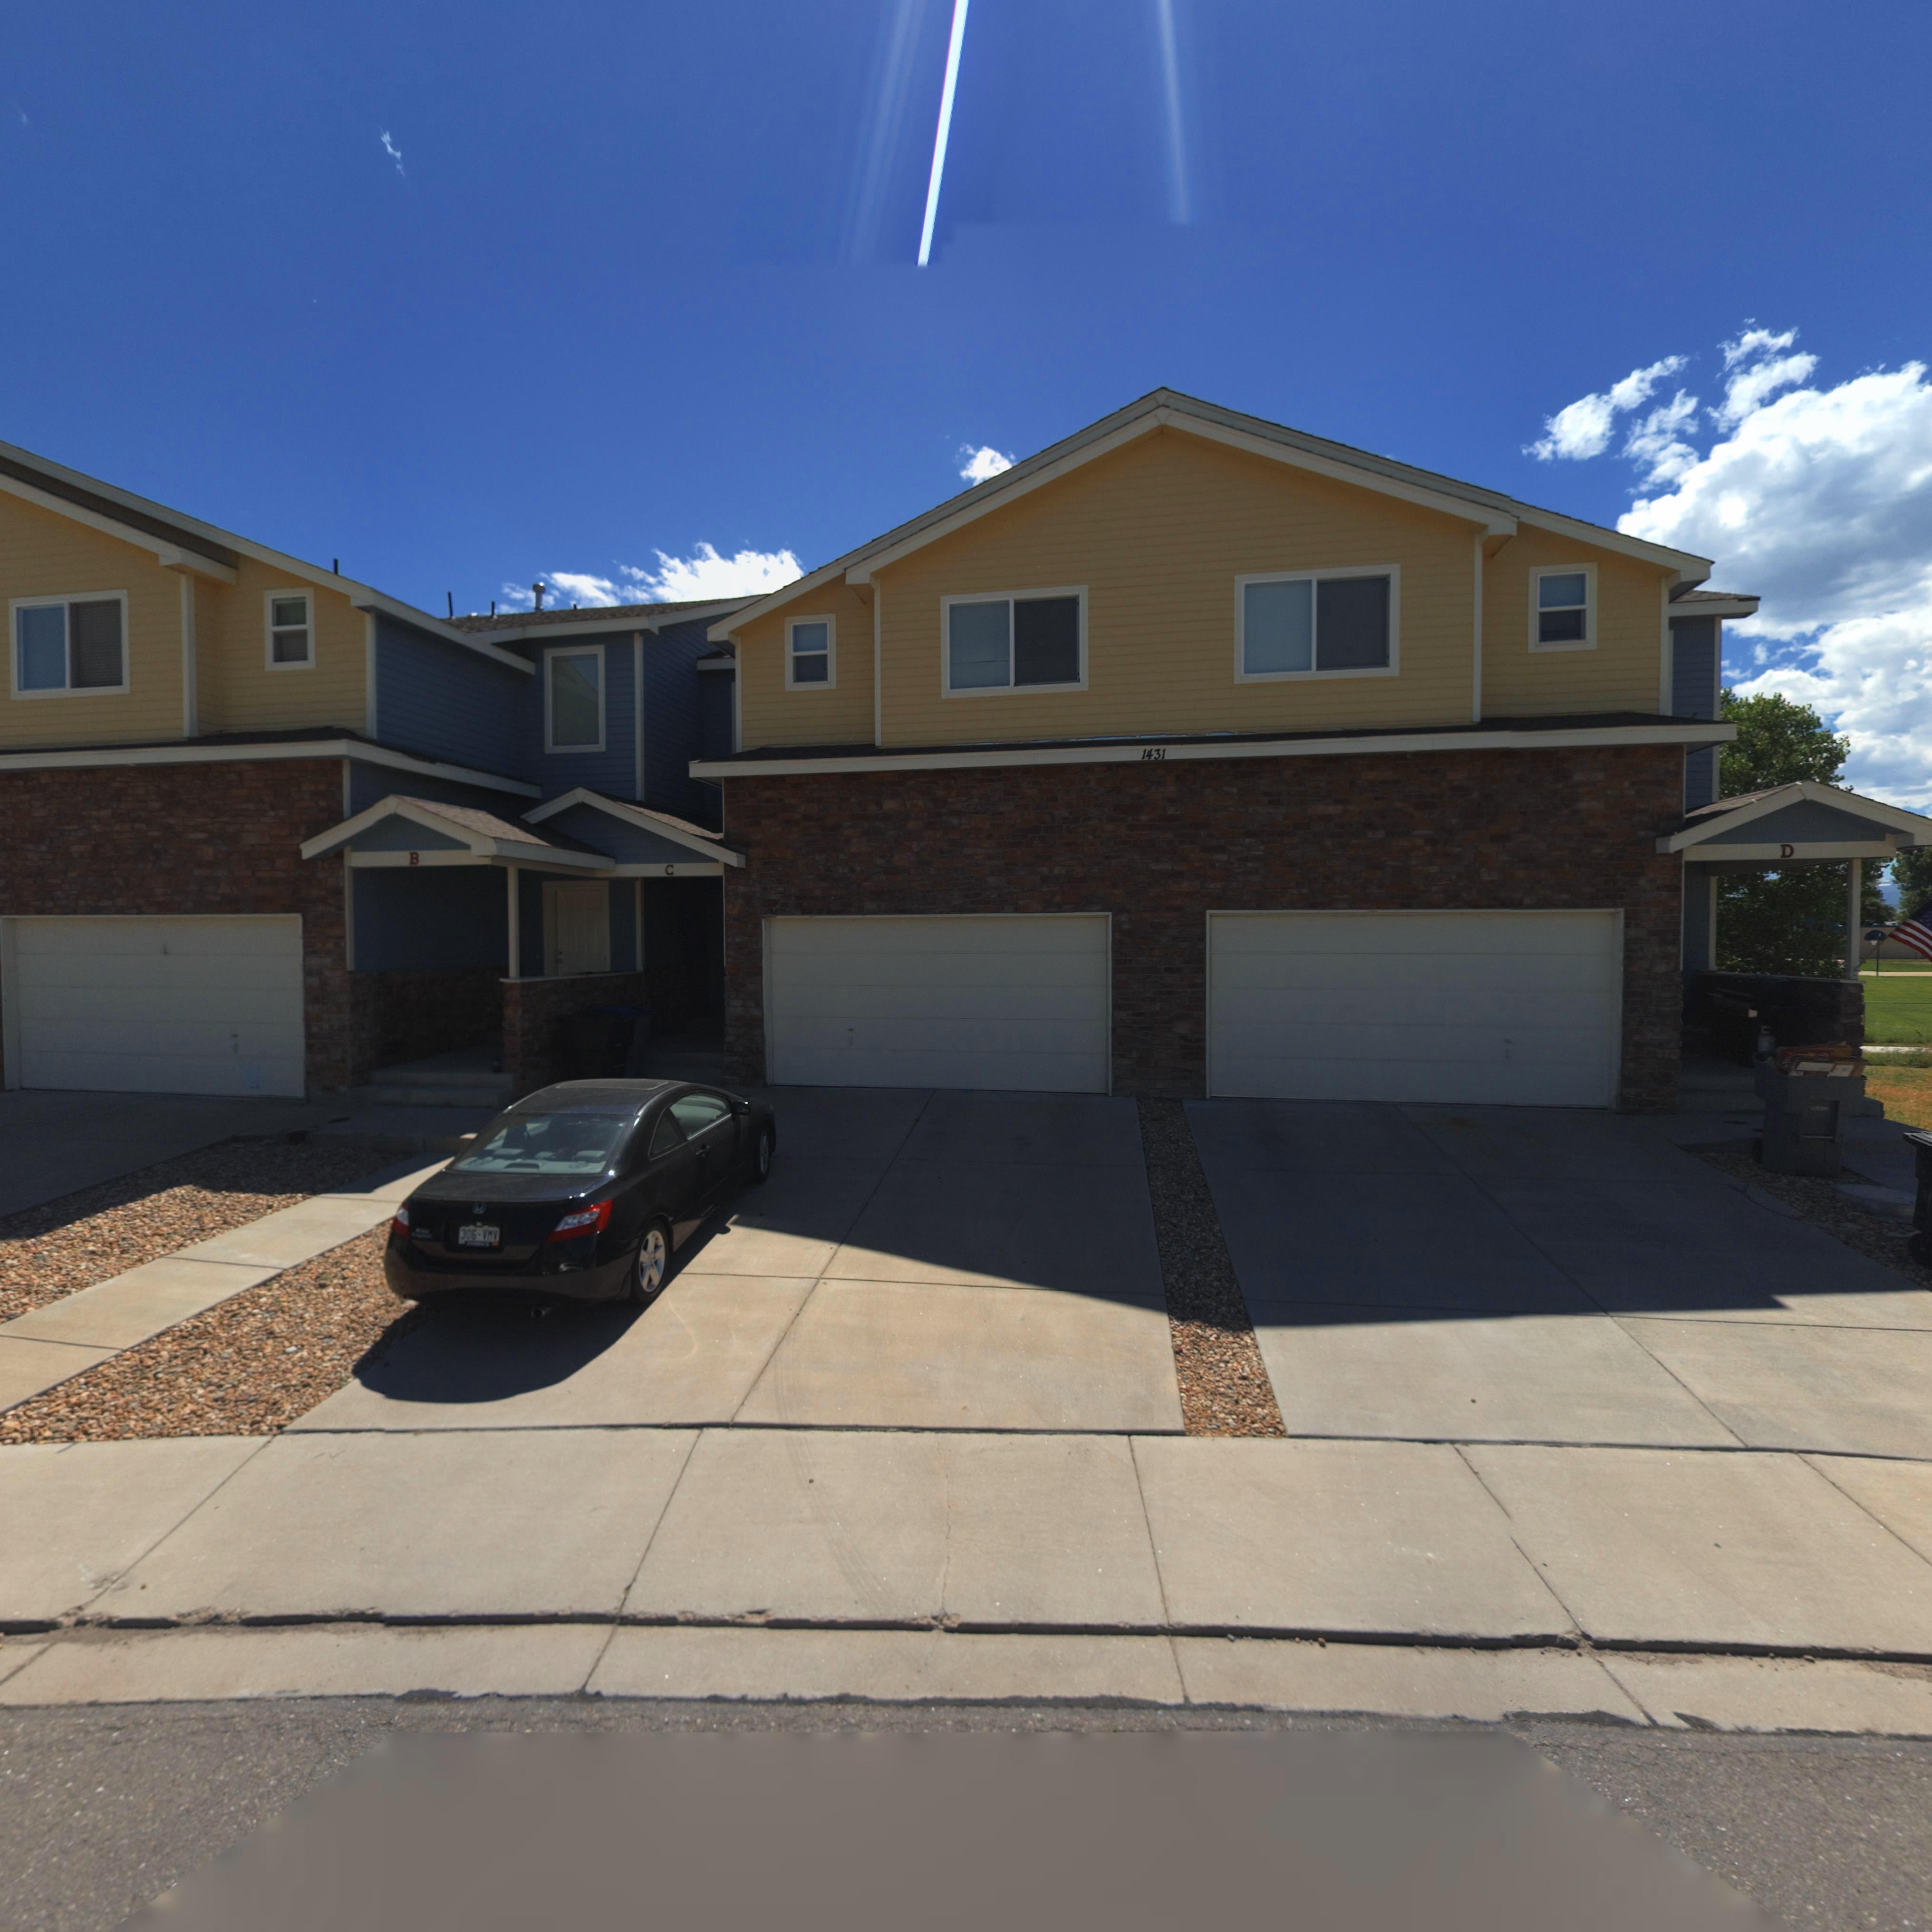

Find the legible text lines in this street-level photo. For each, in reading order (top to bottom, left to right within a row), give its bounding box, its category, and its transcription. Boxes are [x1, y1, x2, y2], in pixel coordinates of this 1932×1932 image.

[1140, 748, 1166, 761] StreetNumber: 1431